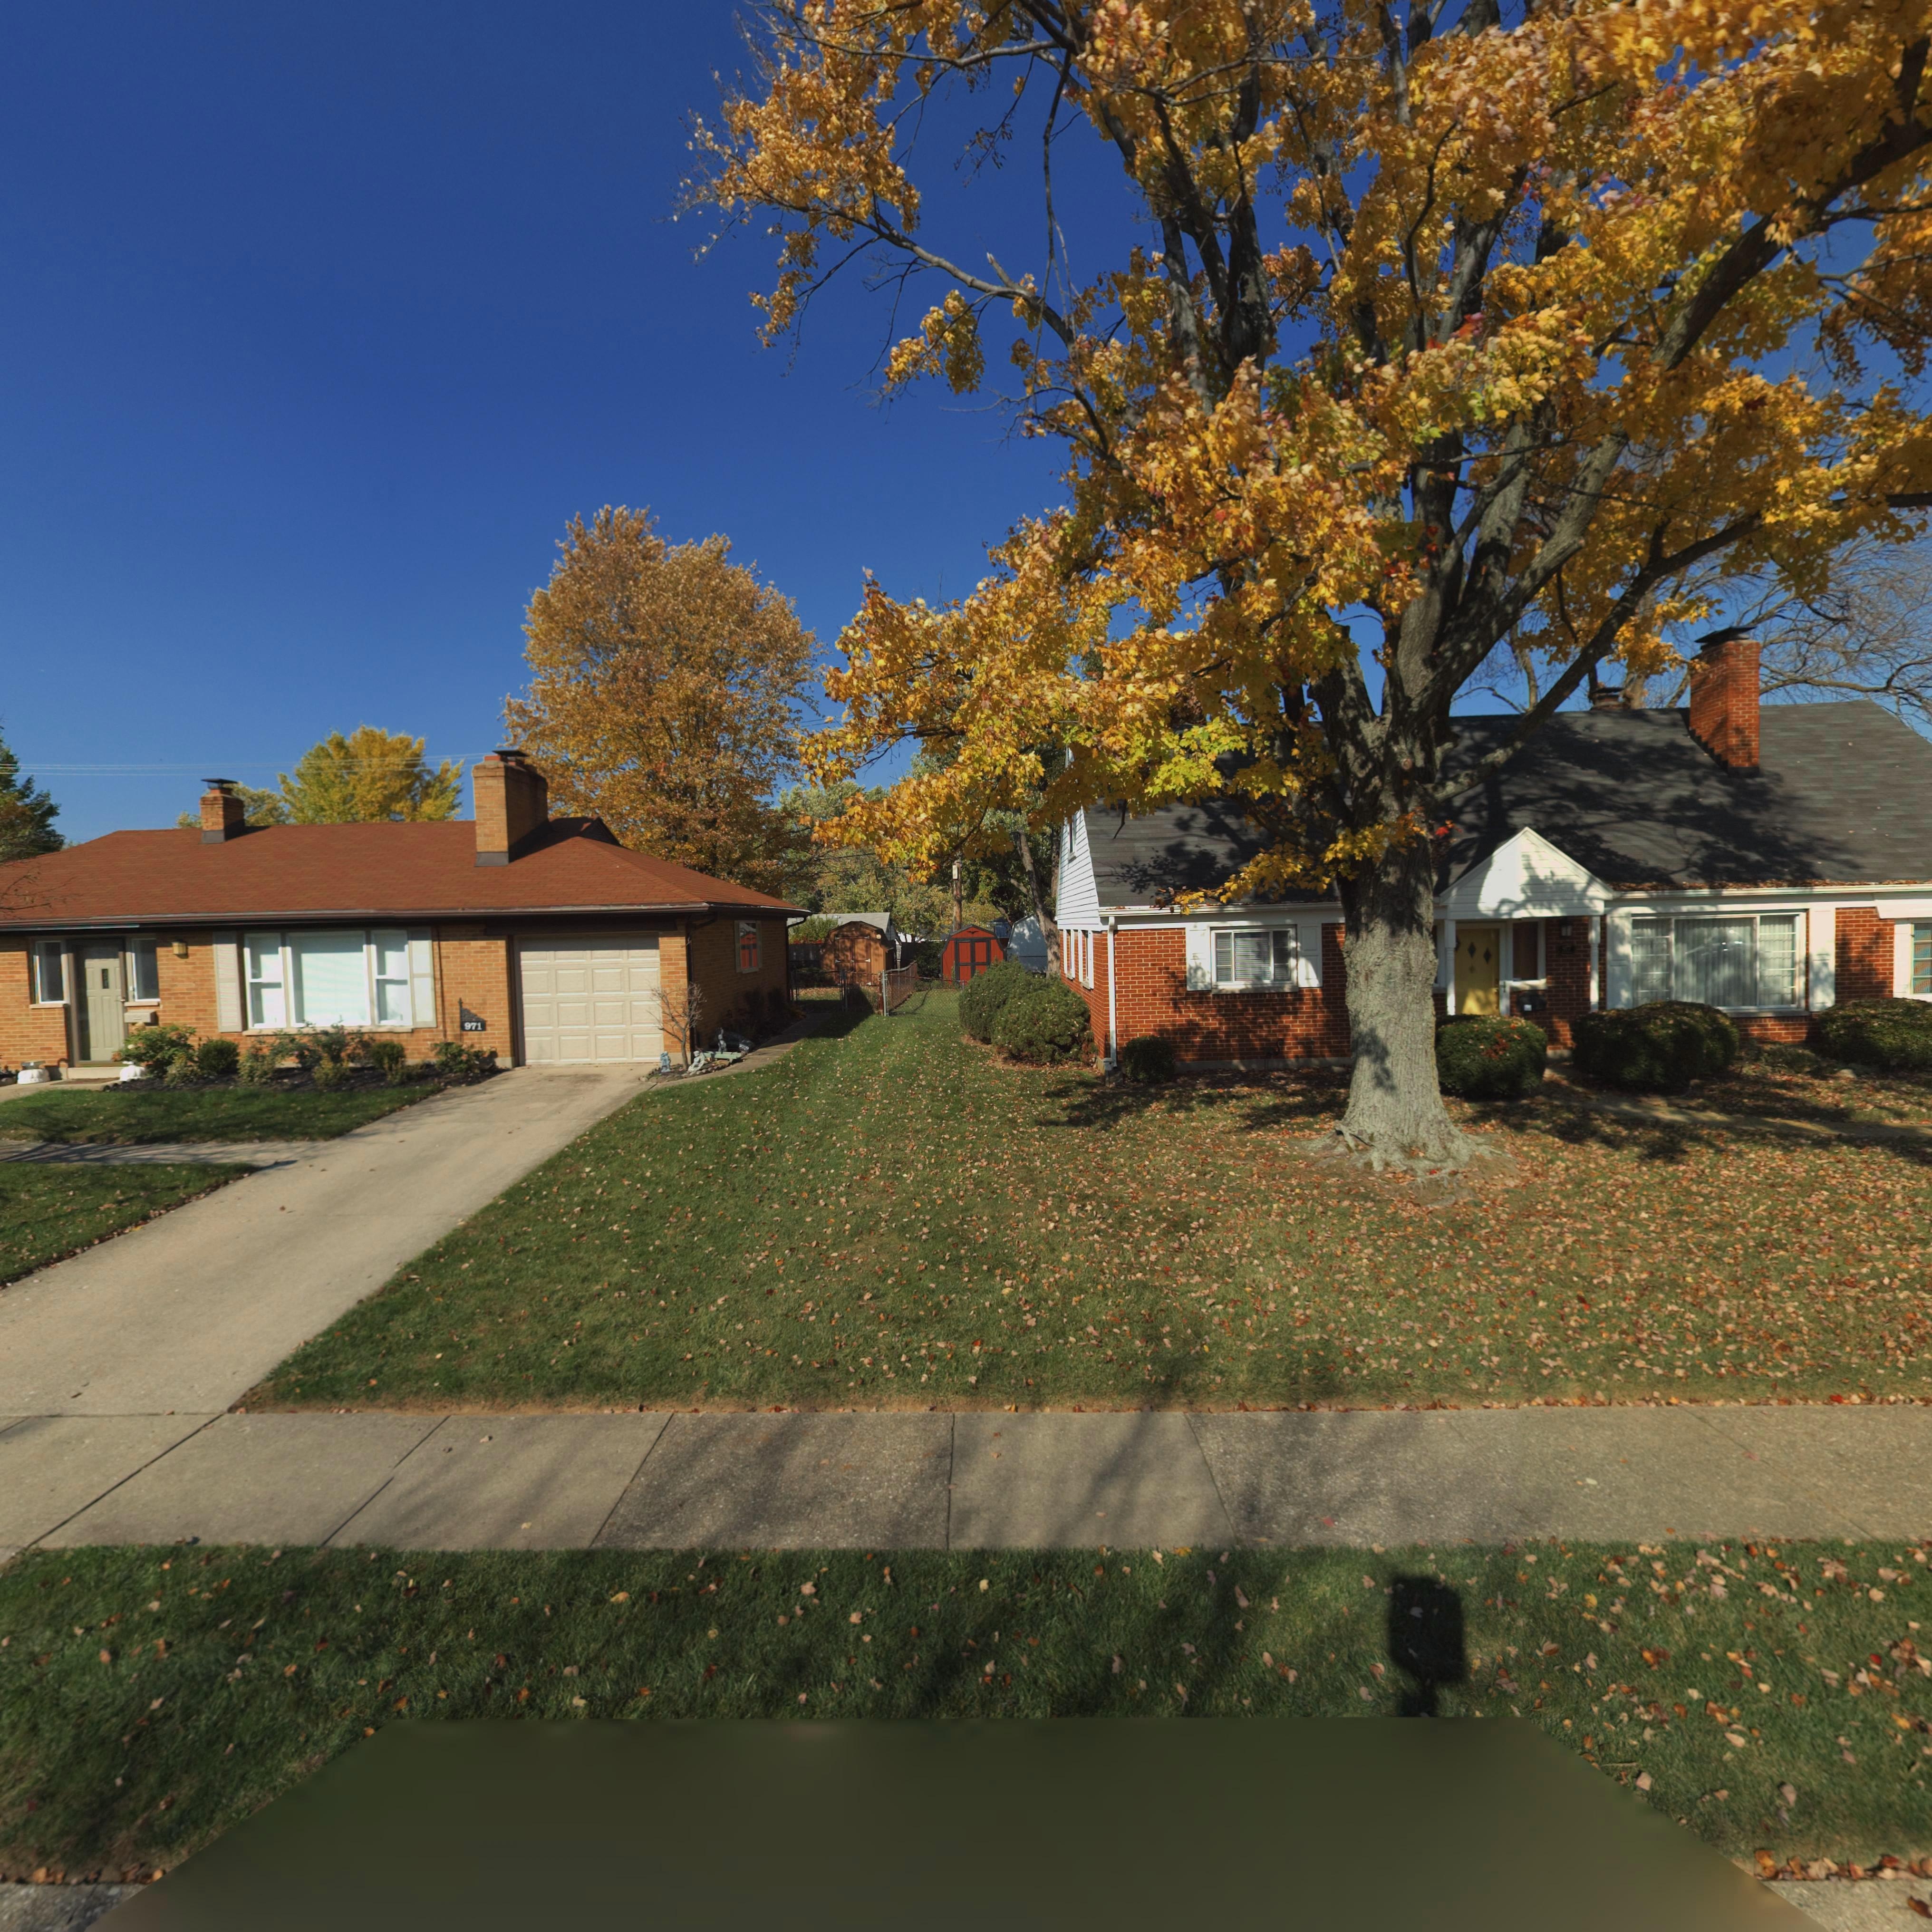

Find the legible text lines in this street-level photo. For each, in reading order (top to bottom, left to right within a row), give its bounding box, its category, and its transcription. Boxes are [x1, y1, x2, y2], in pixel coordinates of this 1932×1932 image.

[463, 1021, 483, 1031] StreetNumber: 971